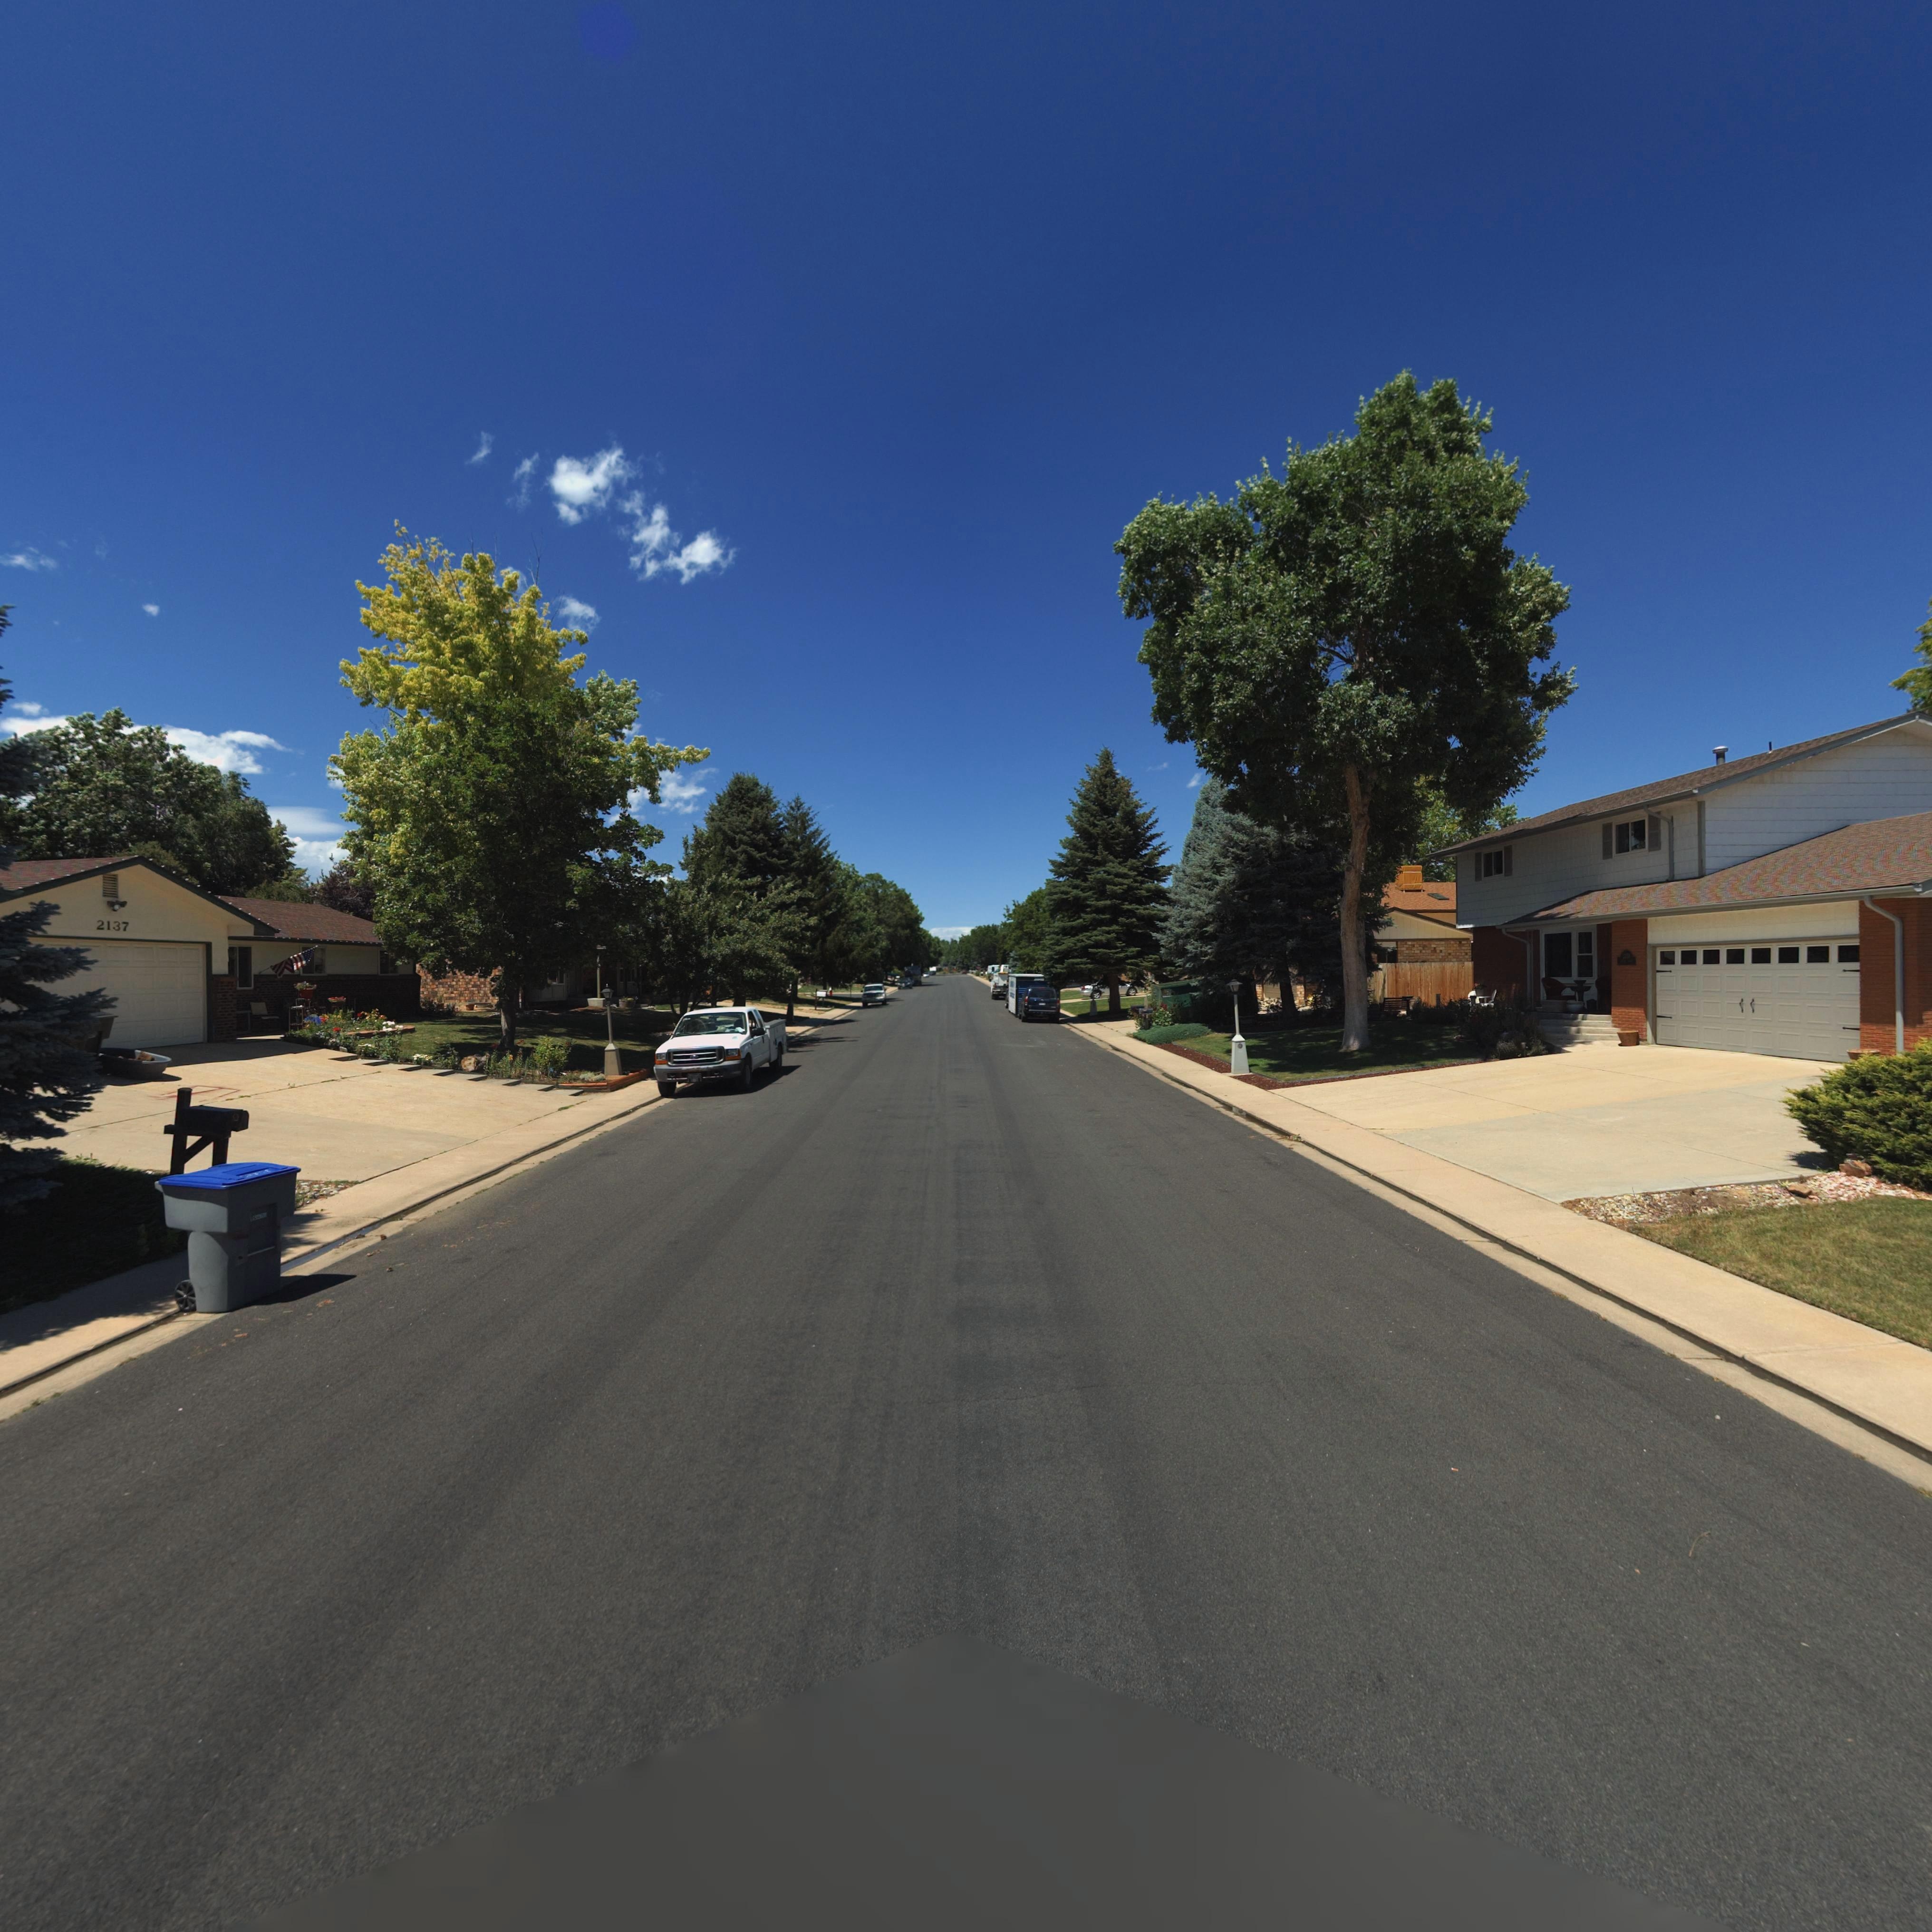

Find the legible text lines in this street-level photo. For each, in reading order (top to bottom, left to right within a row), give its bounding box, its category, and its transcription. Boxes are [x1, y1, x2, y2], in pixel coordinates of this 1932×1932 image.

[96, 919, 129, 932] StreetNumber: 2137